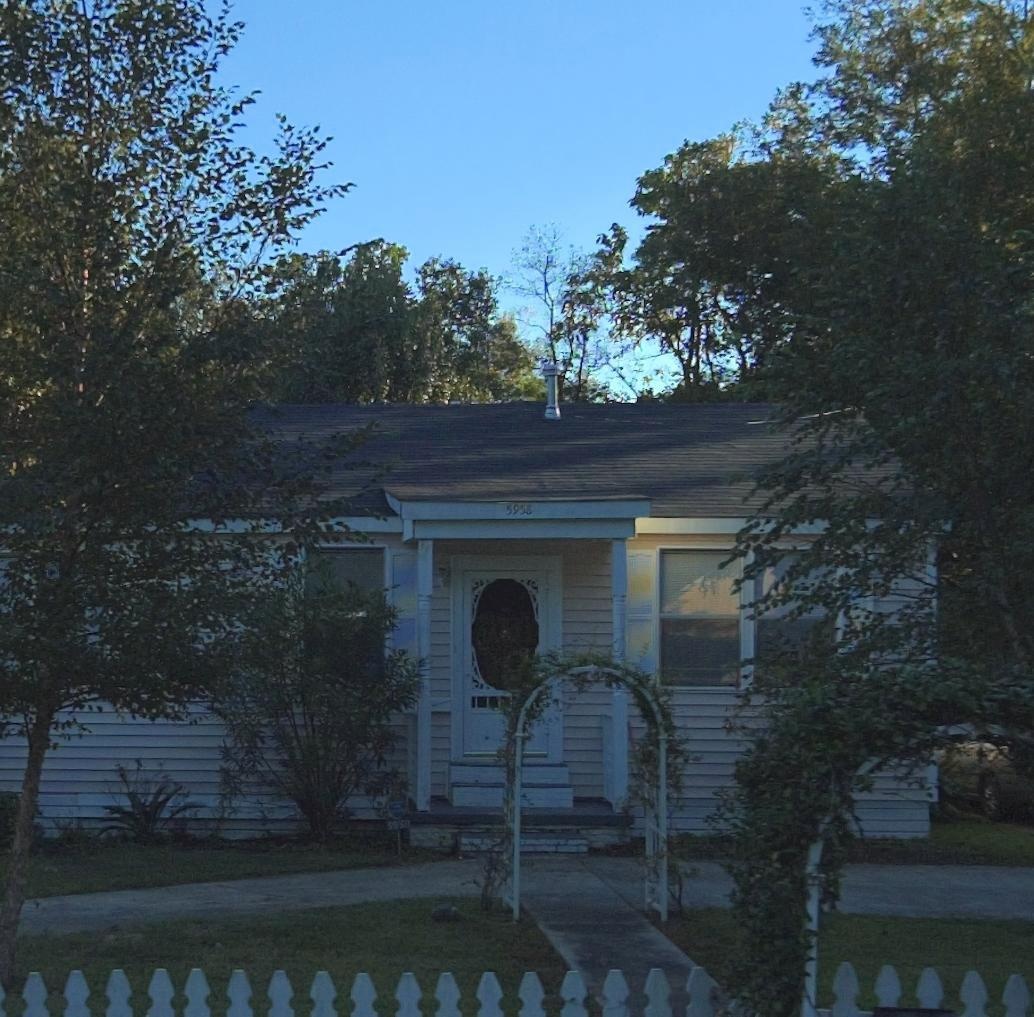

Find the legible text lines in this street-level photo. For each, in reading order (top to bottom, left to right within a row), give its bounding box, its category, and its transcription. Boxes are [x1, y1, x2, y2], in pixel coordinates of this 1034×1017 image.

[505, 503, 533, 515] StreetNumber: 5958